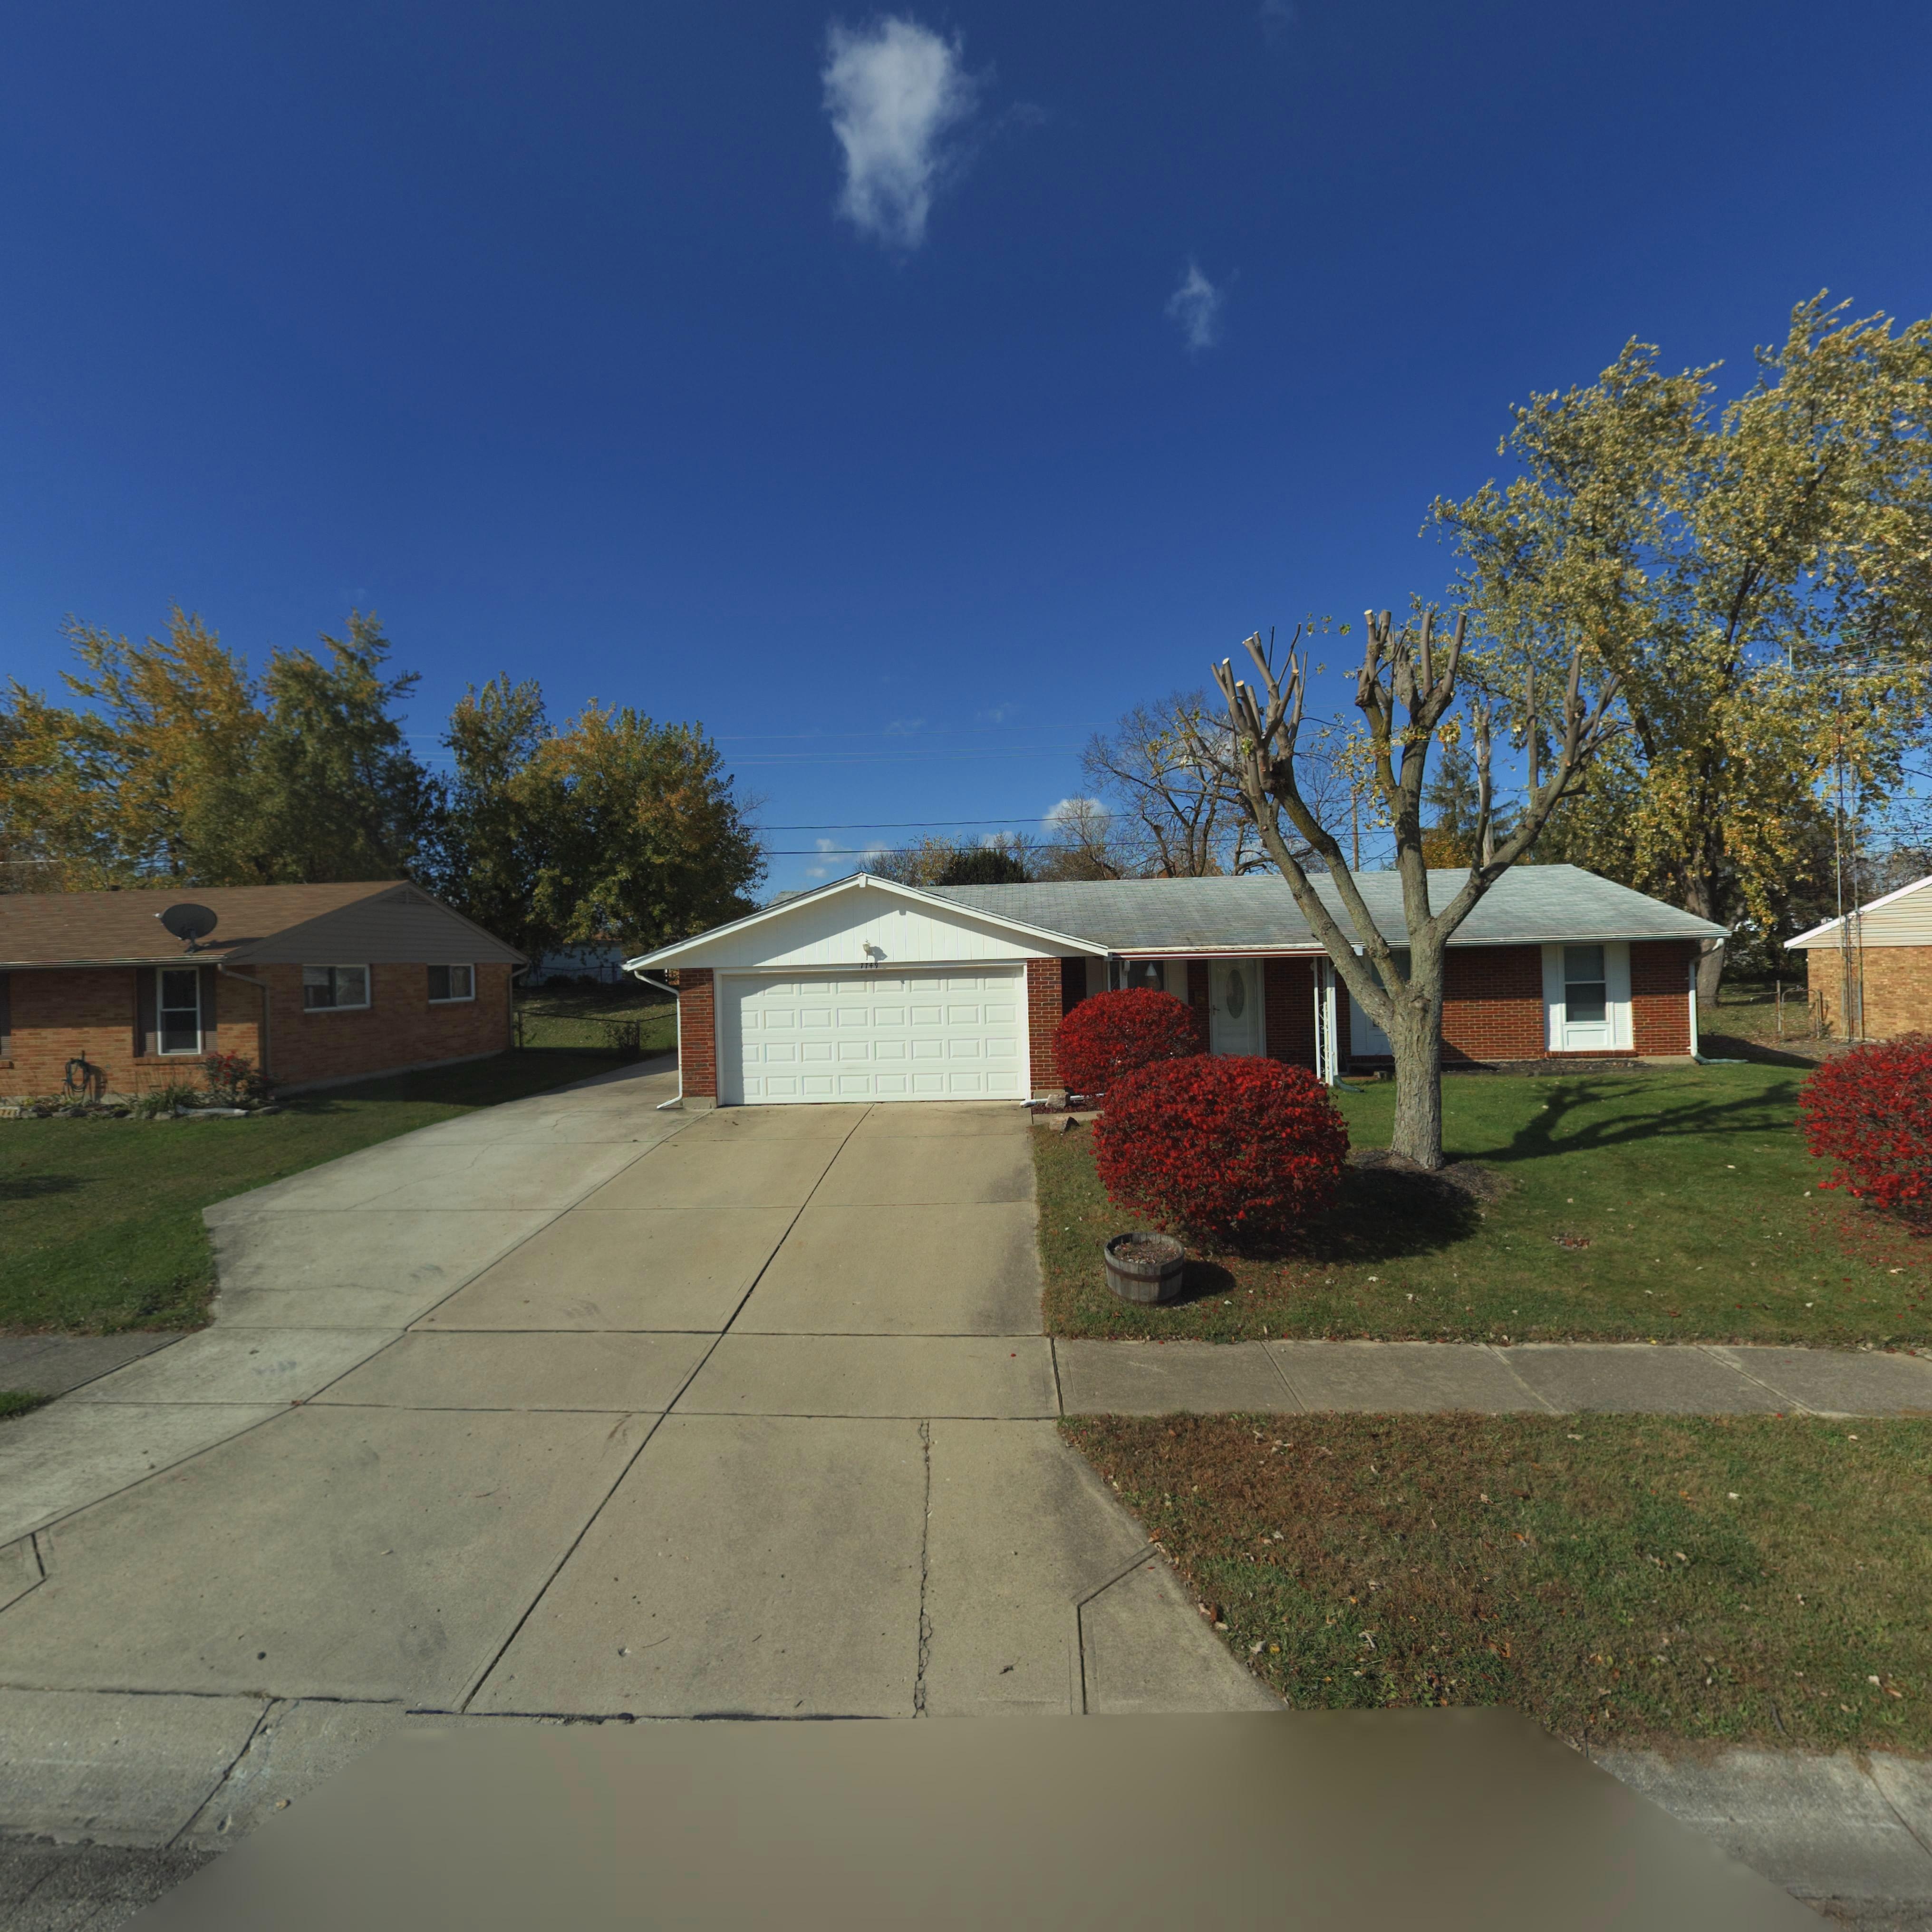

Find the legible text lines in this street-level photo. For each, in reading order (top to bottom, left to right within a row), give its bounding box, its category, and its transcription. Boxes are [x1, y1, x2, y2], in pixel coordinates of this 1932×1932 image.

[860, 962, 879, 970] StreetNumber: 7749